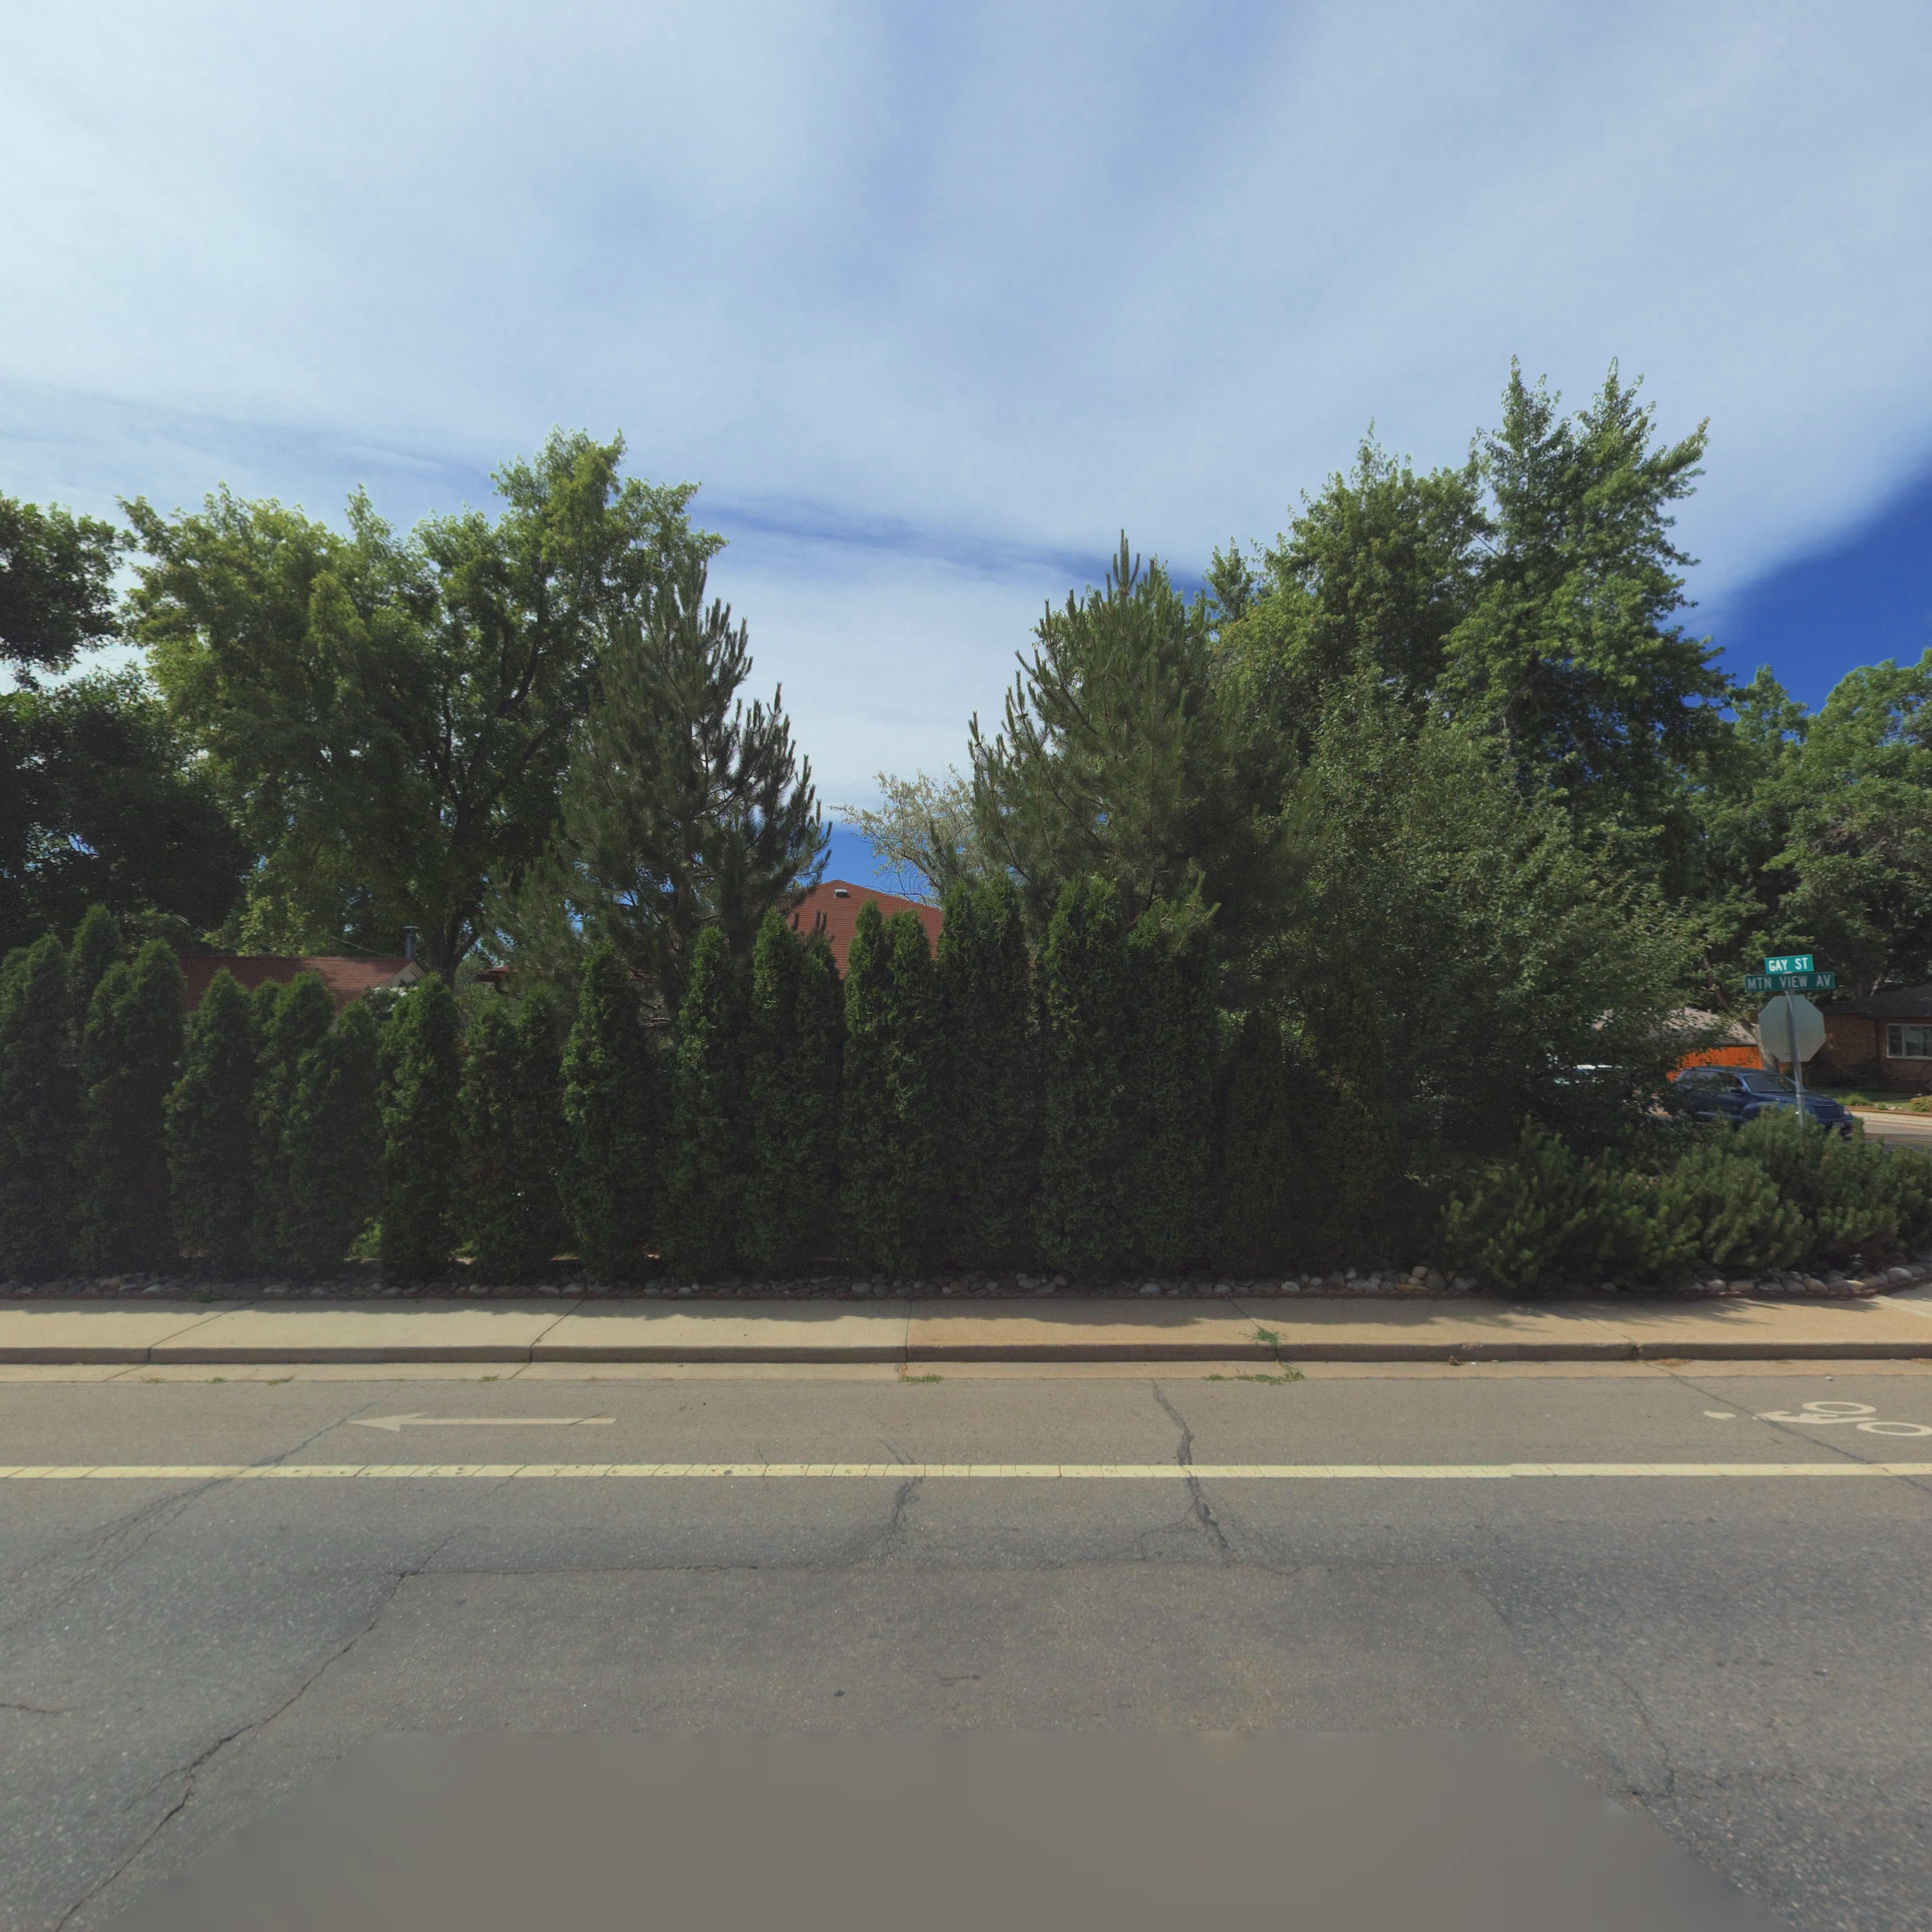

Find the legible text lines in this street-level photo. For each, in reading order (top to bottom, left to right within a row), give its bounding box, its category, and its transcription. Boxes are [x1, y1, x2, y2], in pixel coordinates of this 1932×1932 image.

[1768, 956, 1808, 972] StreetName: GAY ST
[1747, 974, 1832, 990] StreetName: MTN VIEW AV